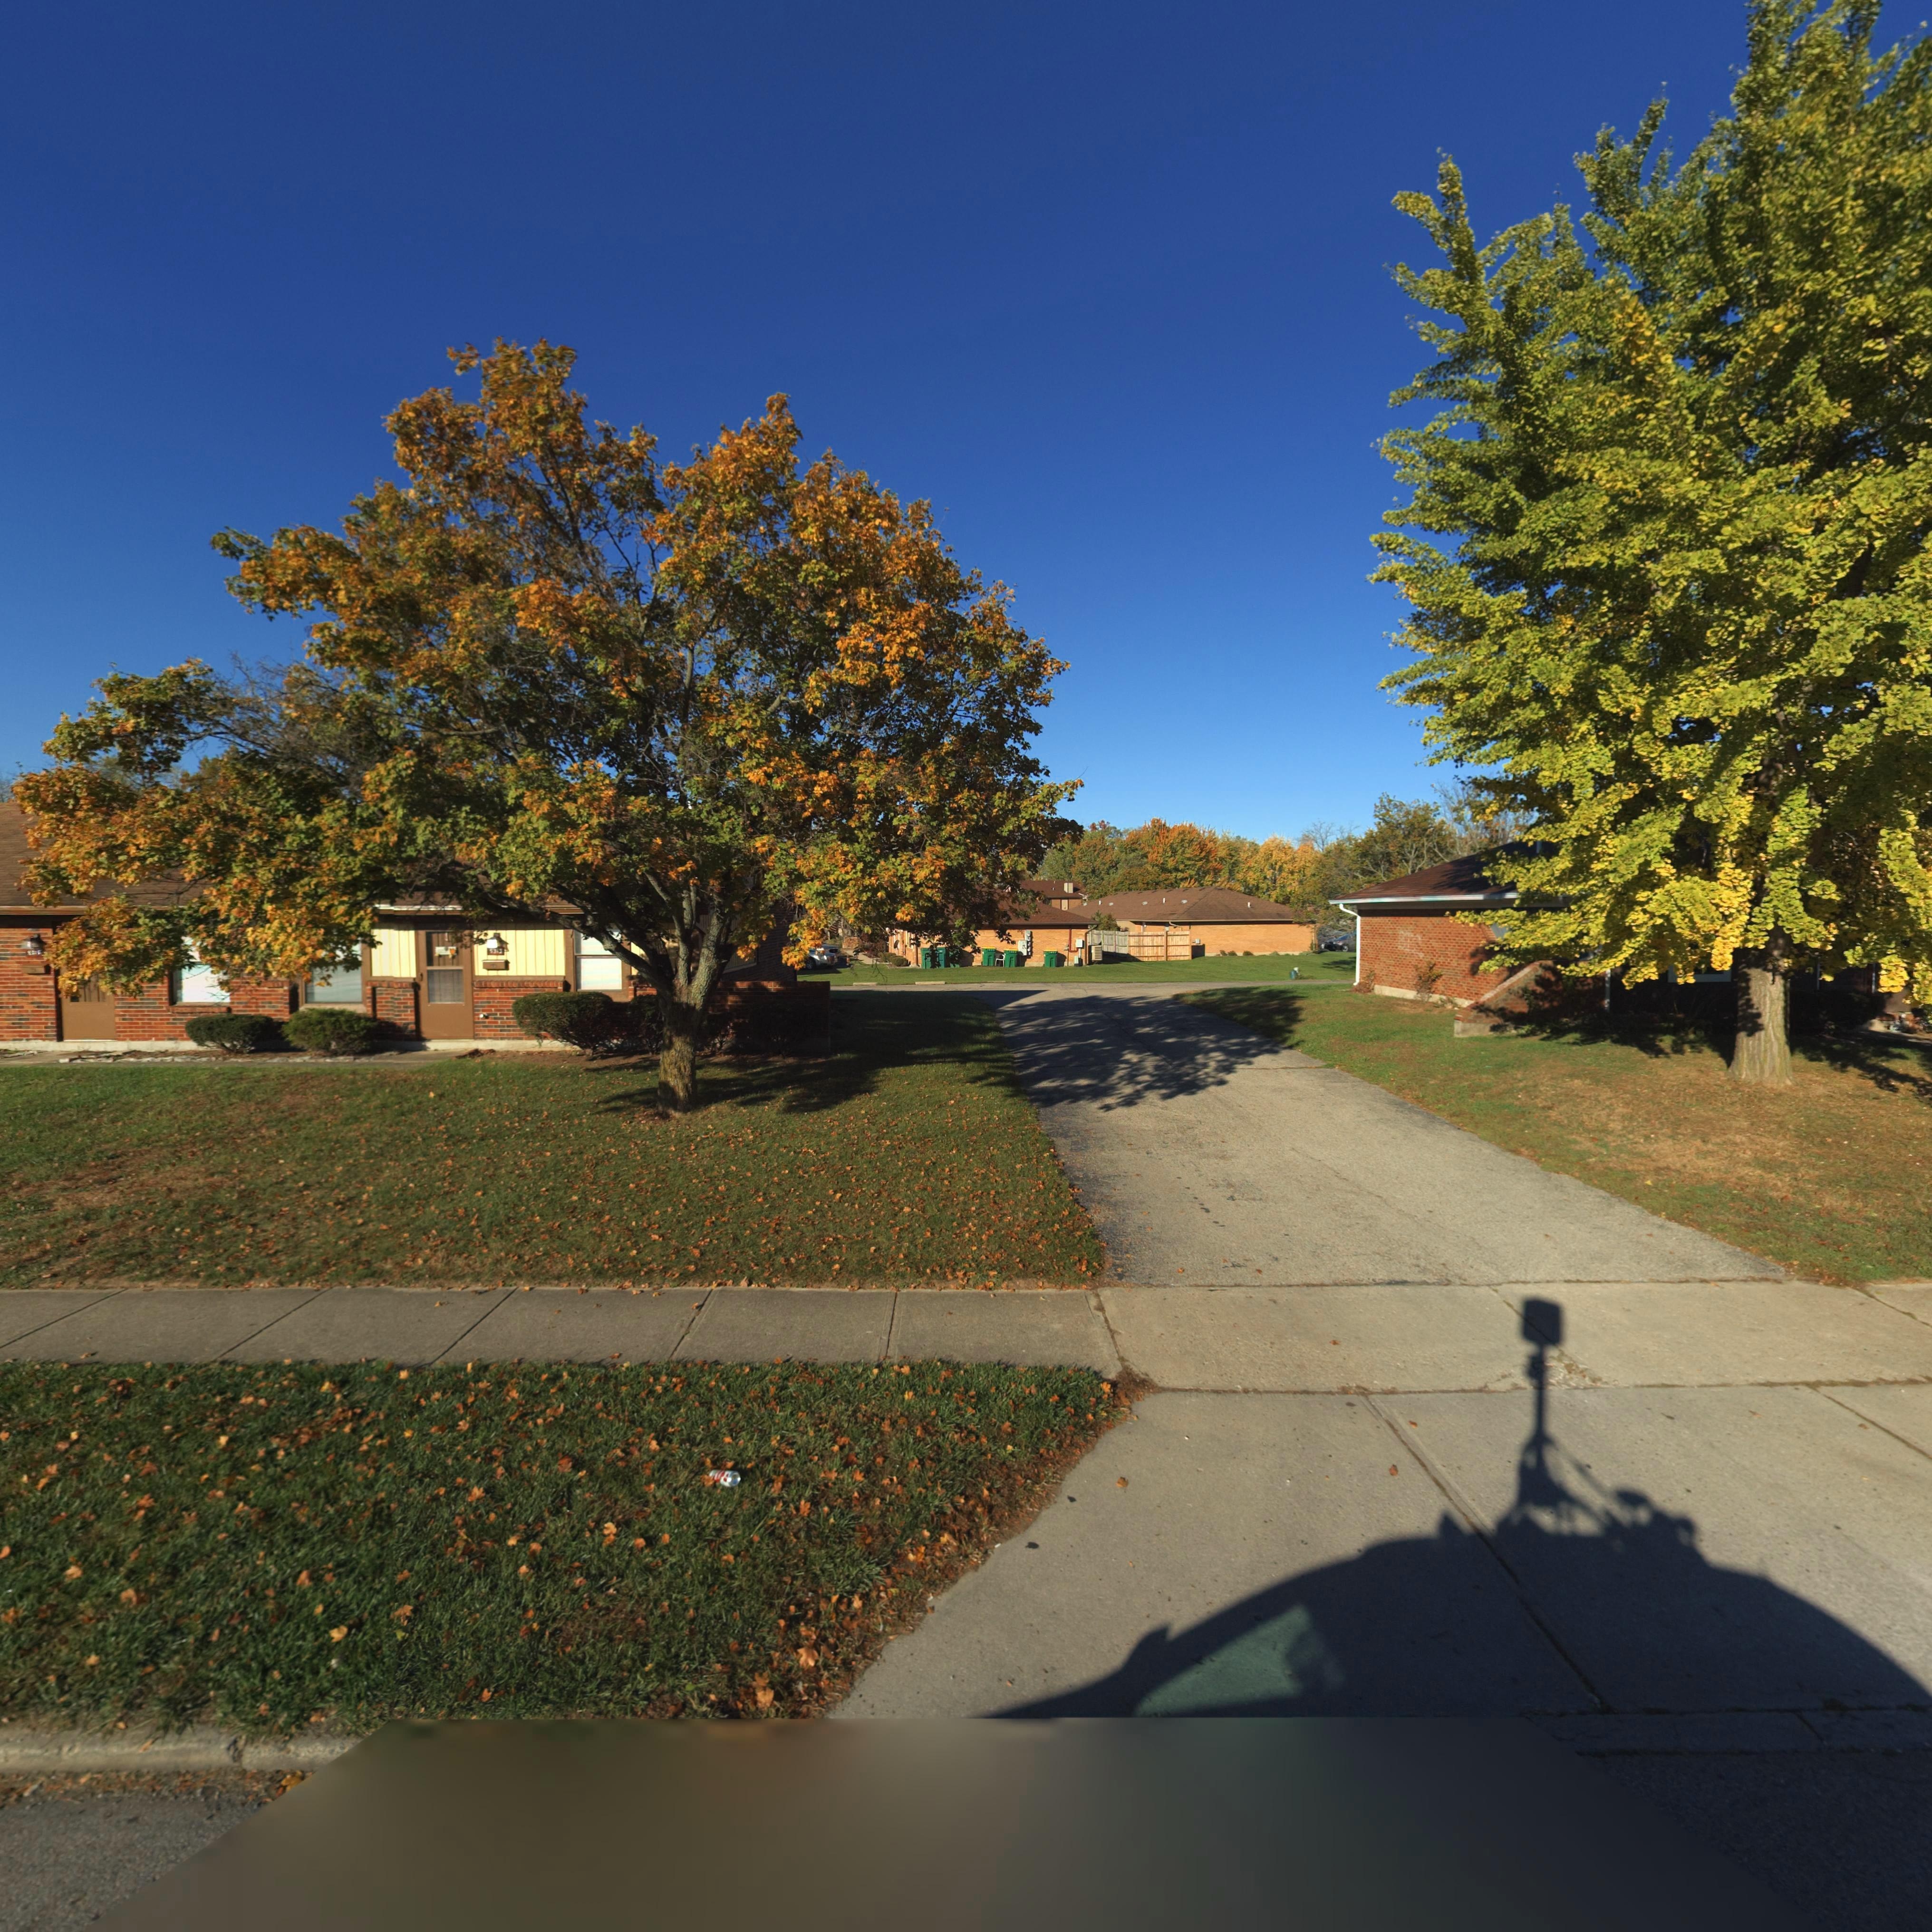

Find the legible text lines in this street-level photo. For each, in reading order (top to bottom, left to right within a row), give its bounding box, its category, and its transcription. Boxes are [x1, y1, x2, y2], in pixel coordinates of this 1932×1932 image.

[26, 949, 42, 956] StreetNumber: 5315
[488, 947, 502, 954] StreetNumber: 5313